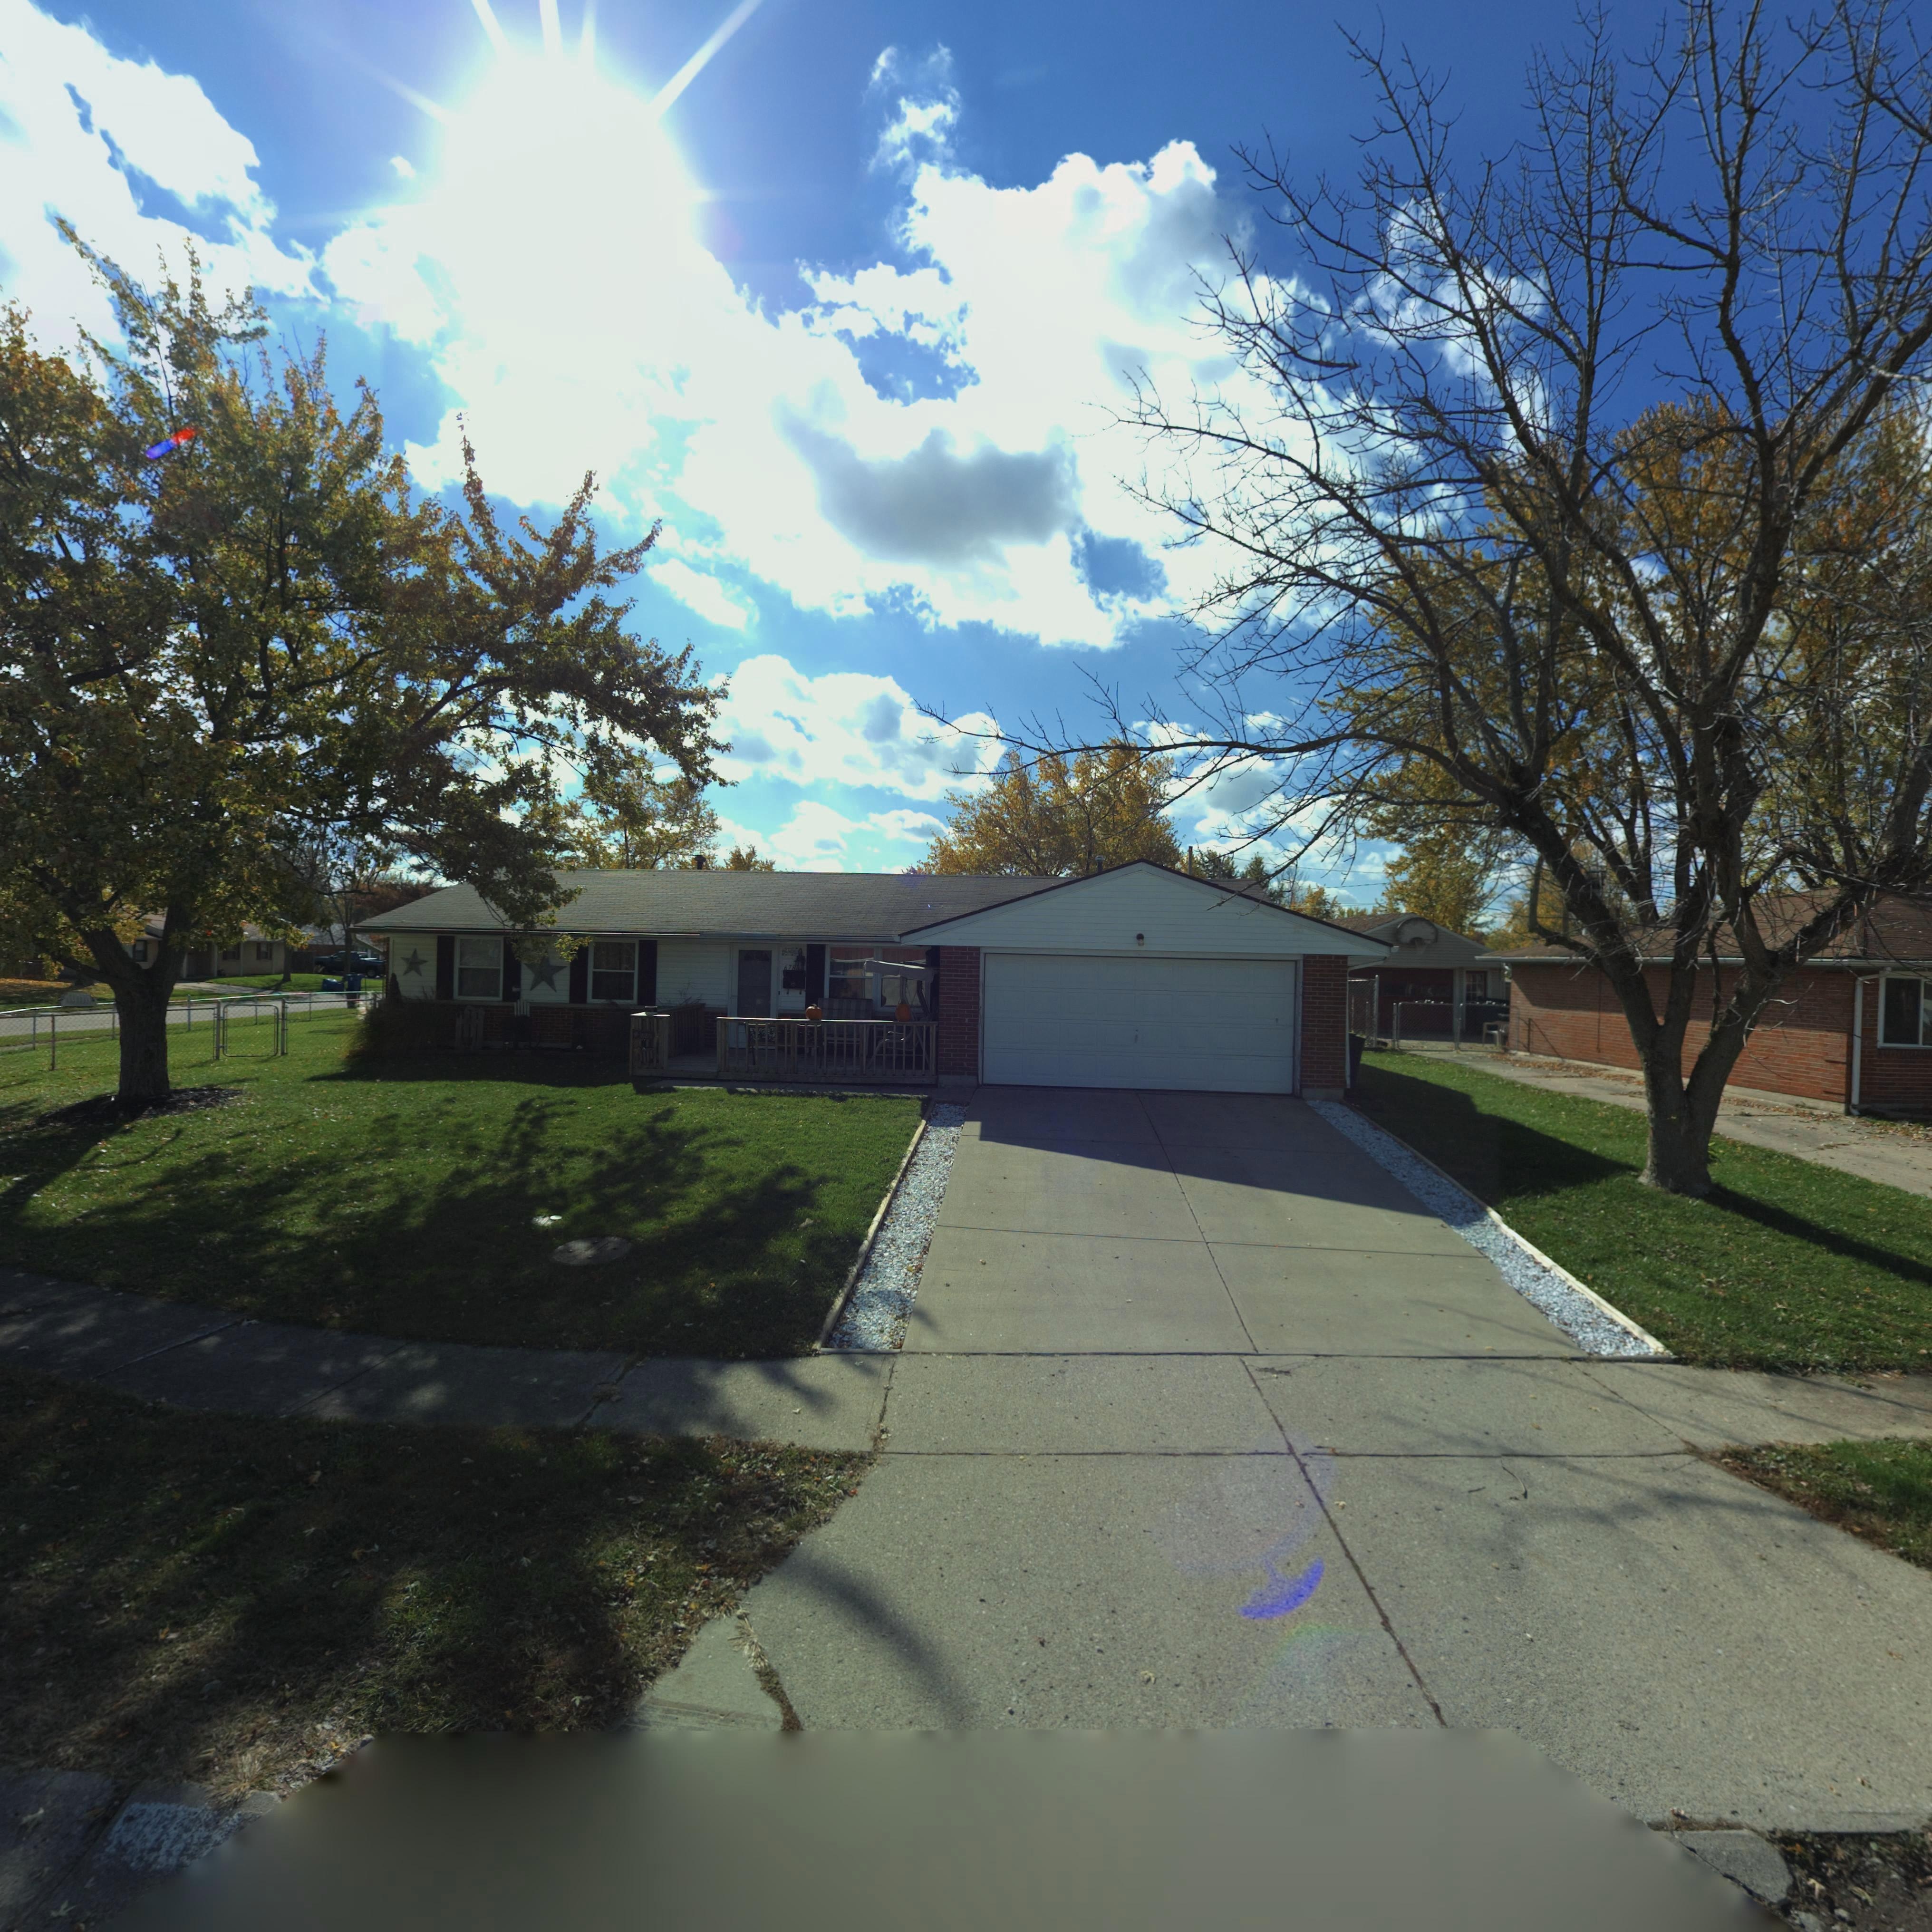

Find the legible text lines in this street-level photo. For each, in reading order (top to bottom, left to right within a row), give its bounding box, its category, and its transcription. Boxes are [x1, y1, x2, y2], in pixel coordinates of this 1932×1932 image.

[783, 965, 796, 971] StreetNumber: 678